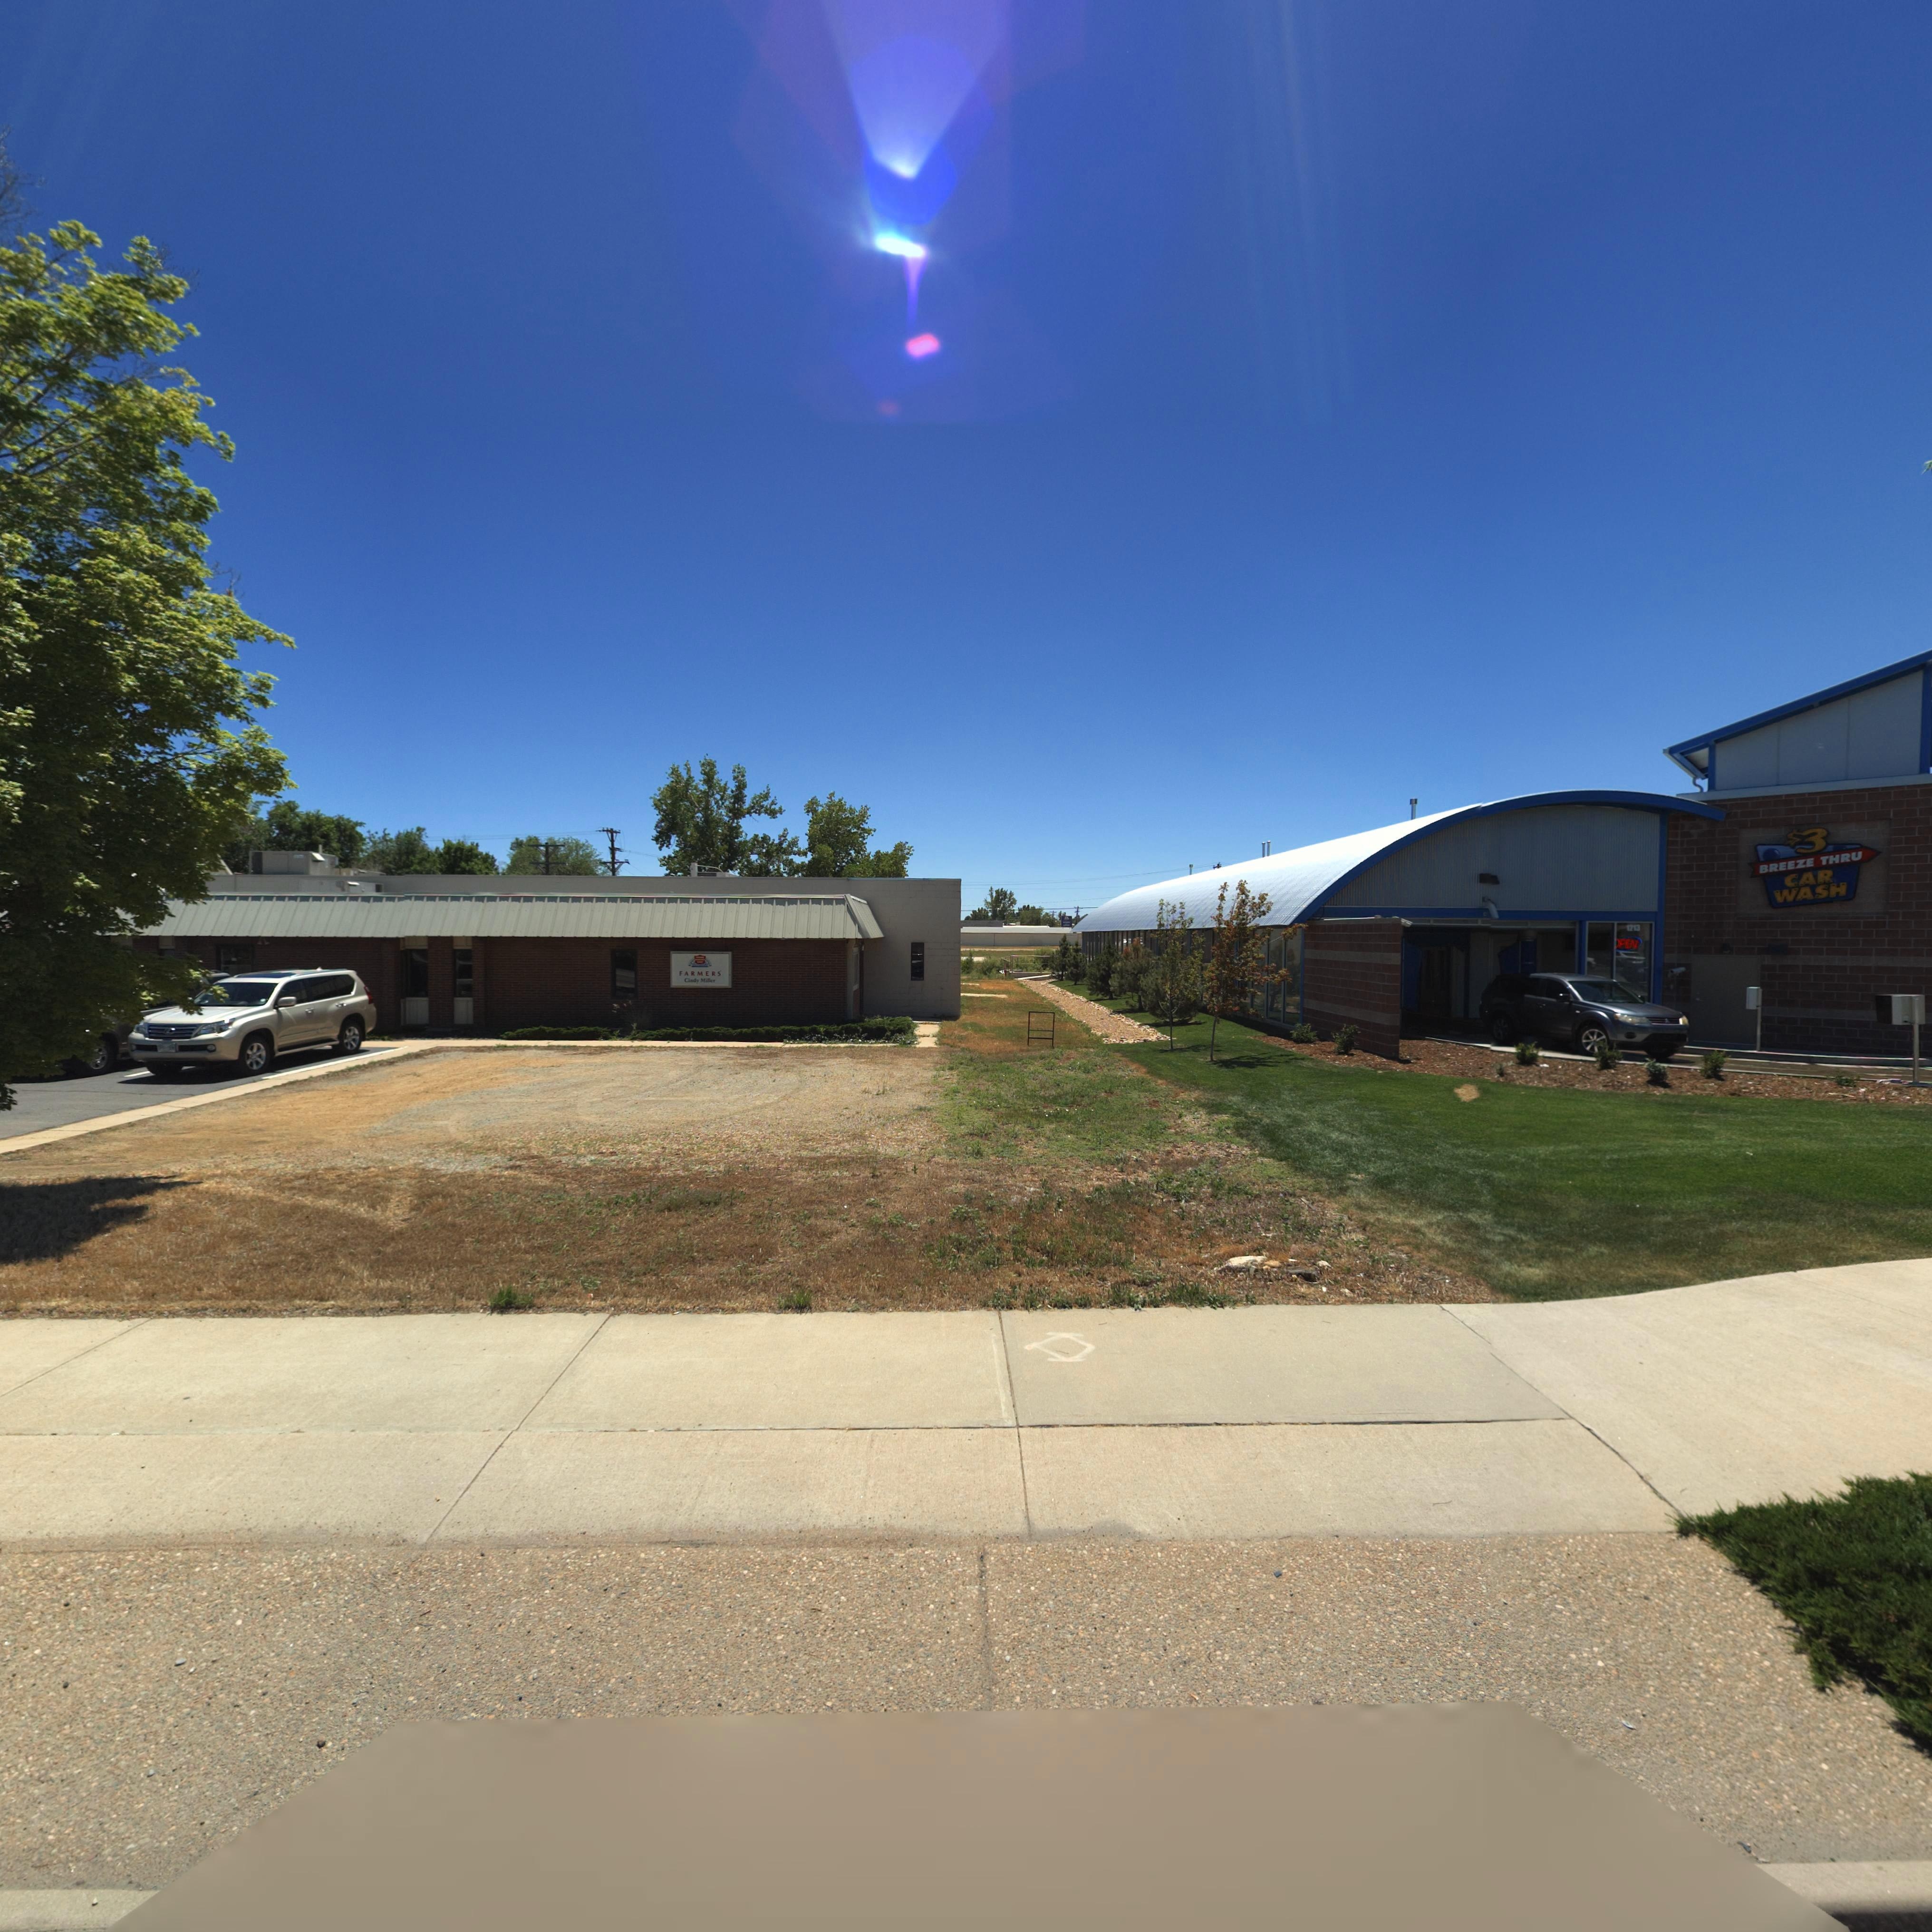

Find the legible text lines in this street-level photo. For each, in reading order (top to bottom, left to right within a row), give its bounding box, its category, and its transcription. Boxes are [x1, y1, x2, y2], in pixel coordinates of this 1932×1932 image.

[1758, 850, 1863, 874] BusinessName: BREEZE THRU
[1783, 868, 1835, 889] BusinessName: CAR
[1772, 881, 1847, 903] BusinessName: WASH
[1625, 924, 1641, 931] StreetNumber: 1213
[678, 970, 722, 976] BusinessName: FARMERS